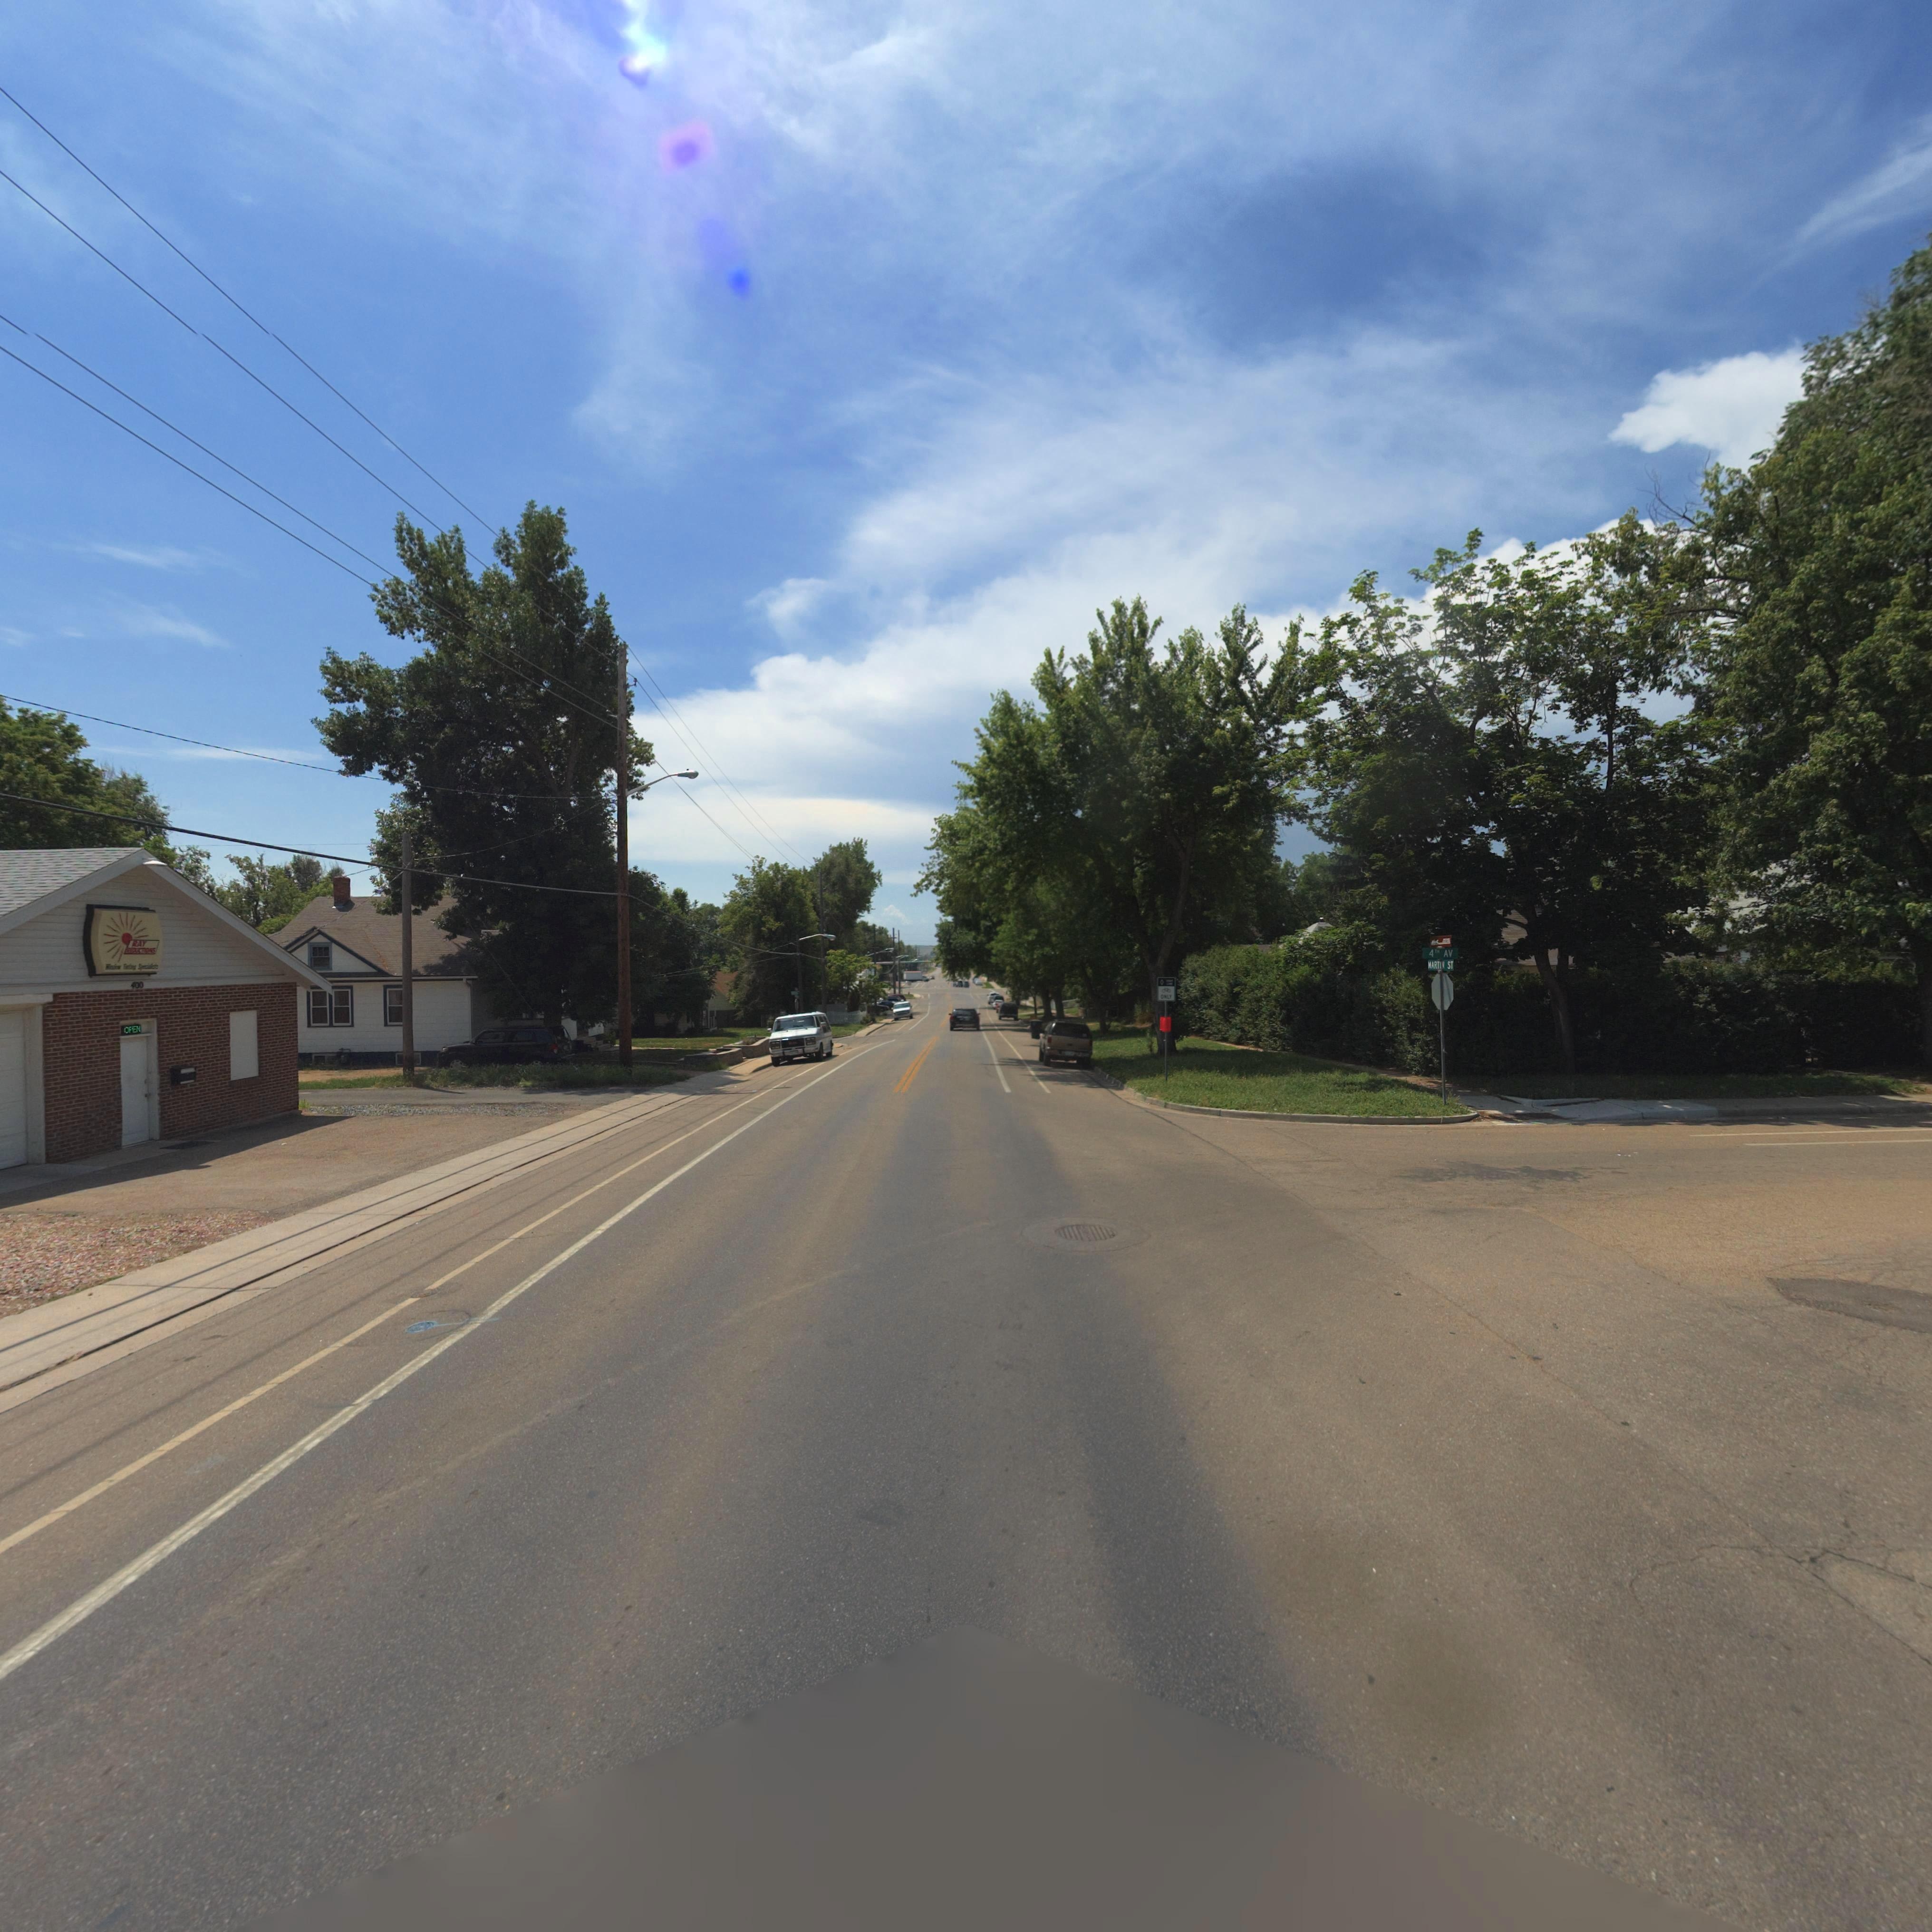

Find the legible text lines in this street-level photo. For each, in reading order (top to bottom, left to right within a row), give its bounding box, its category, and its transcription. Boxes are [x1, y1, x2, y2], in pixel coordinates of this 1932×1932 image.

[131, 940, 147, 947] BusinessName: RAY 
[1428, 949, 1453, 957] StreetName: 4TH AV
[1428, 961, 1453, 969] StreetName: MARTIN ST
[131, 981, 143, 989] StreetNumber: 400